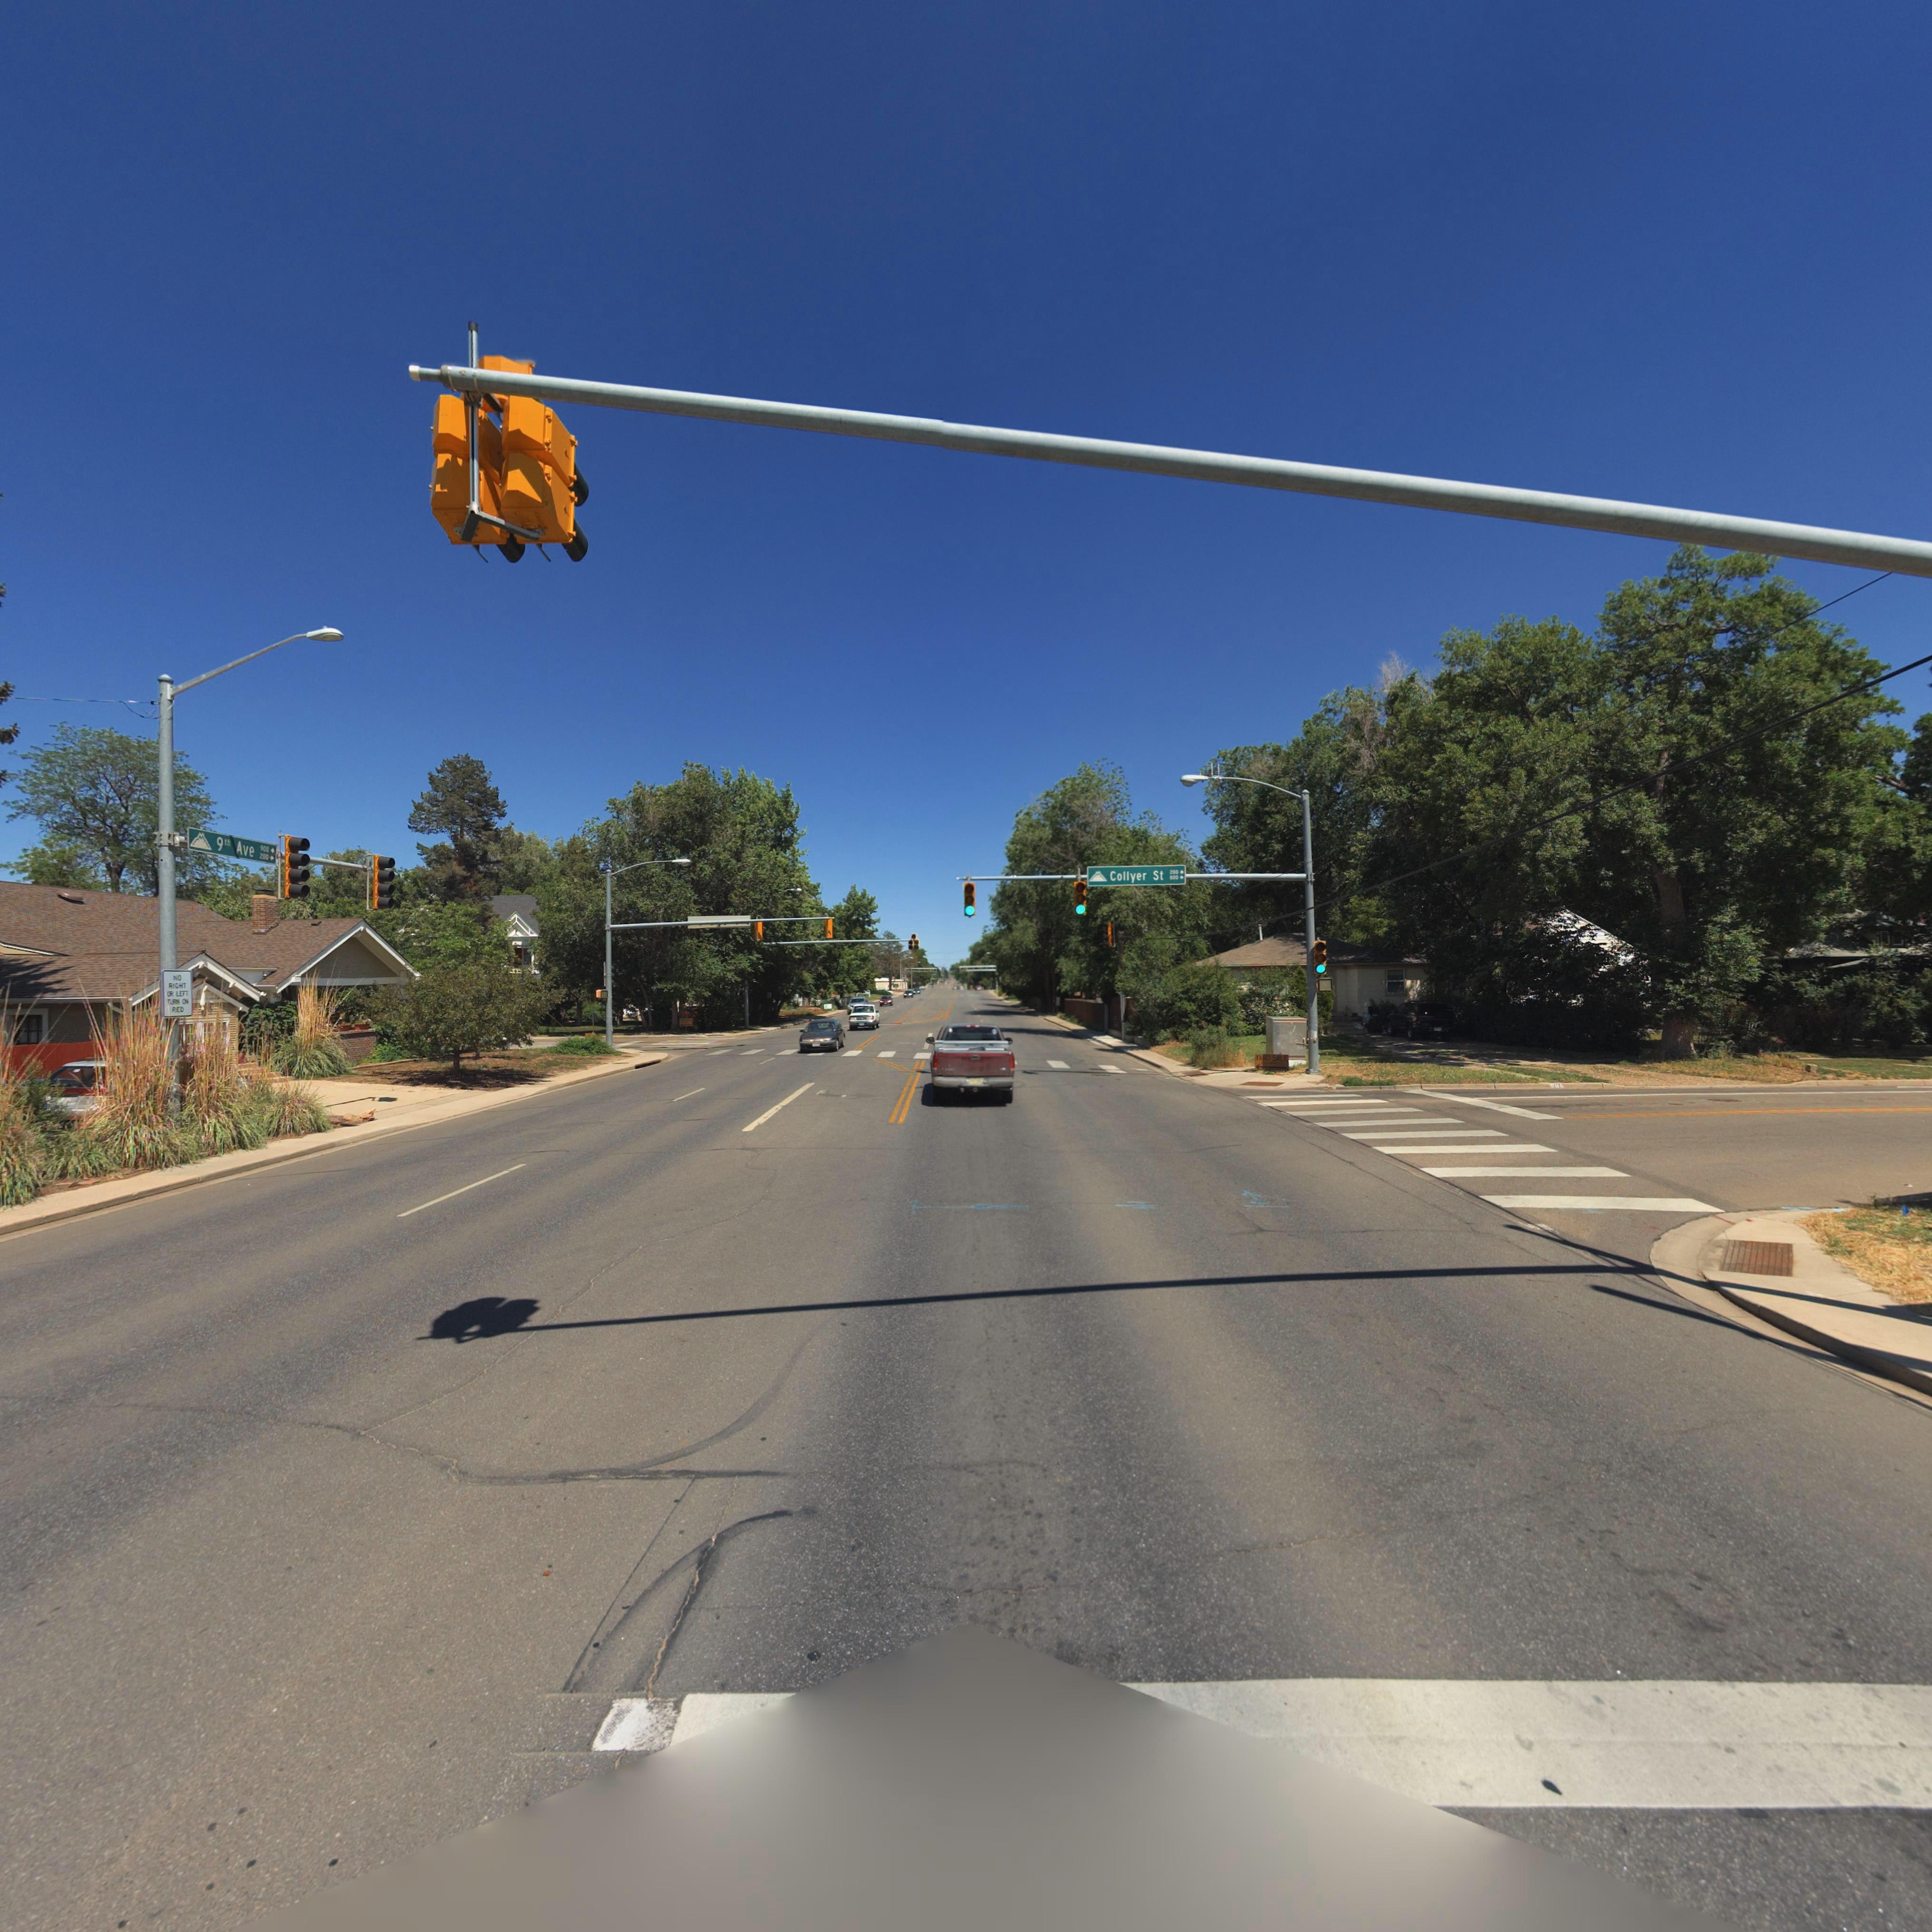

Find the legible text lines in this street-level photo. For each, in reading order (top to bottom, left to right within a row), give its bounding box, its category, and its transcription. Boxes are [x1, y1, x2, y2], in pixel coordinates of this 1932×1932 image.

[216, 836, 254, 858] StreetName: 9th Ave
[260, 845, 269, 853] StreetNumberRange: 900
[259, 852, 274, 860] StreetNumberRange: 200->
[1169, 869, 1179, 874] StreetNumberRange: 200
[1110, 870, 1164, 883] StreetName: Collyer St
[1169, 875, 1184, 879] StreetNumberRange: 800->